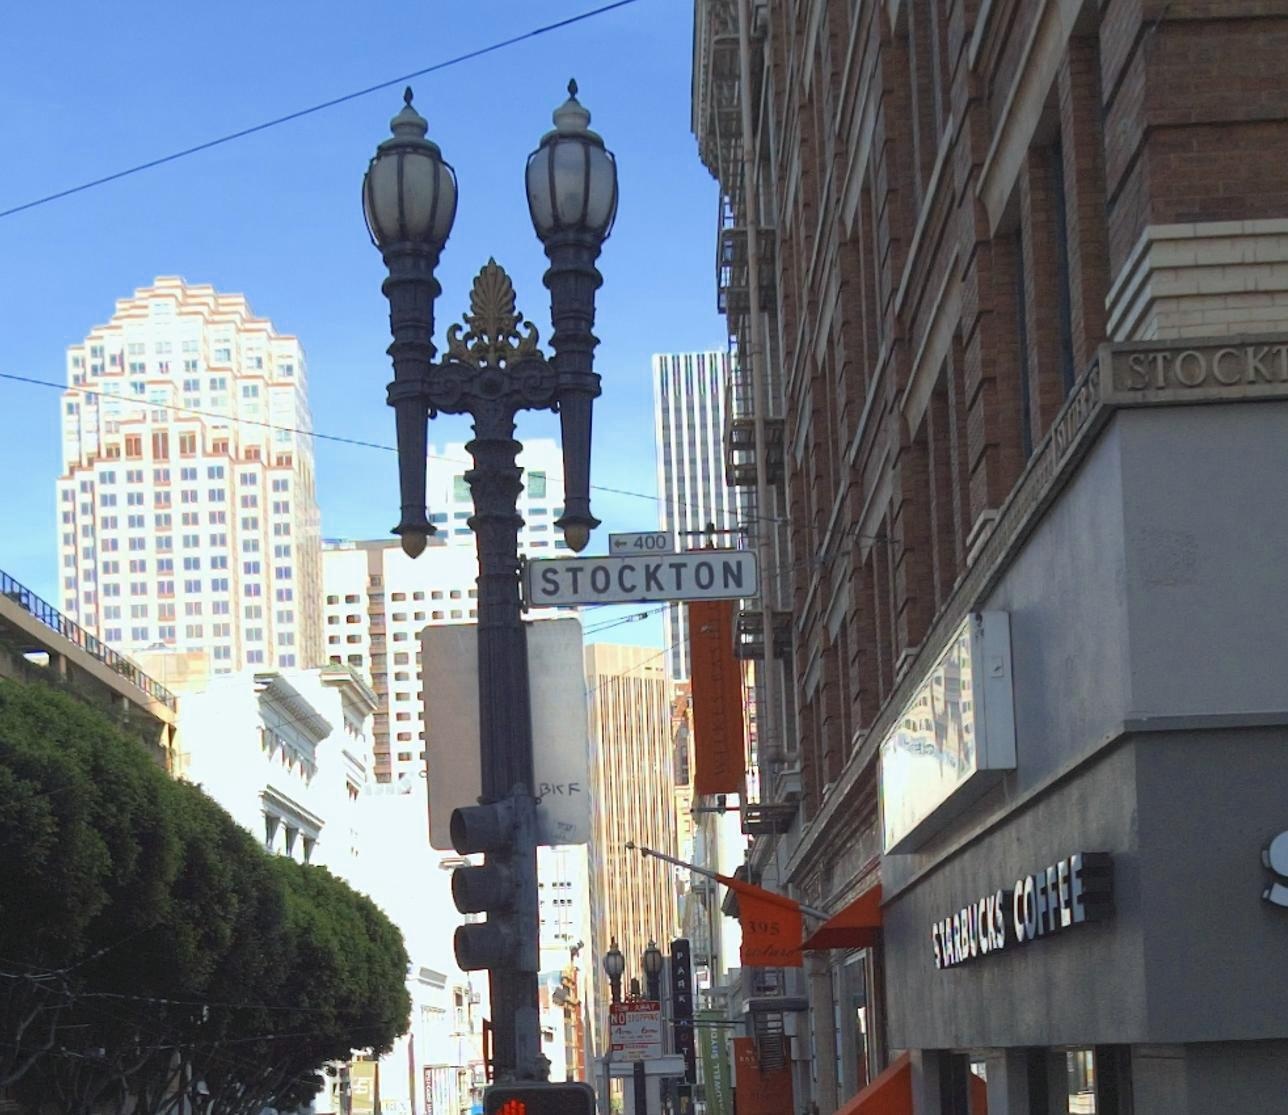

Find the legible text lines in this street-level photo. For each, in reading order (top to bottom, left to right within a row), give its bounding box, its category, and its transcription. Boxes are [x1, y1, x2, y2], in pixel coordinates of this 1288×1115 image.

[1123, 342, 1280, 392] None: STOCK
[610, 532, 669, 552] StreetNumberRange: <-400
[539, 556, 746, 599] StreetName: STOCKTON
[704, 612, 731, 778] BusinessName: WILKES BASEHI
[536, 780, 584, 799] None: BKF
[929, 847, 1090, 973] BusinessName: STARBUCKS COFFEE
[745, 918, 783, 938] StreetNumber: 395
[607, 1011, 633, 1026] None: NO S
[674, 949, 691, 1085] BusinessName: PARK *OT*L
[612, 1024, 625, 1039] None: 4
[639, 1022, 650, 1037] None: 6
[708, 1029, 724, 1092] BusinessName: WELL S**YD
[352, 1077, 371, 1097] None: S